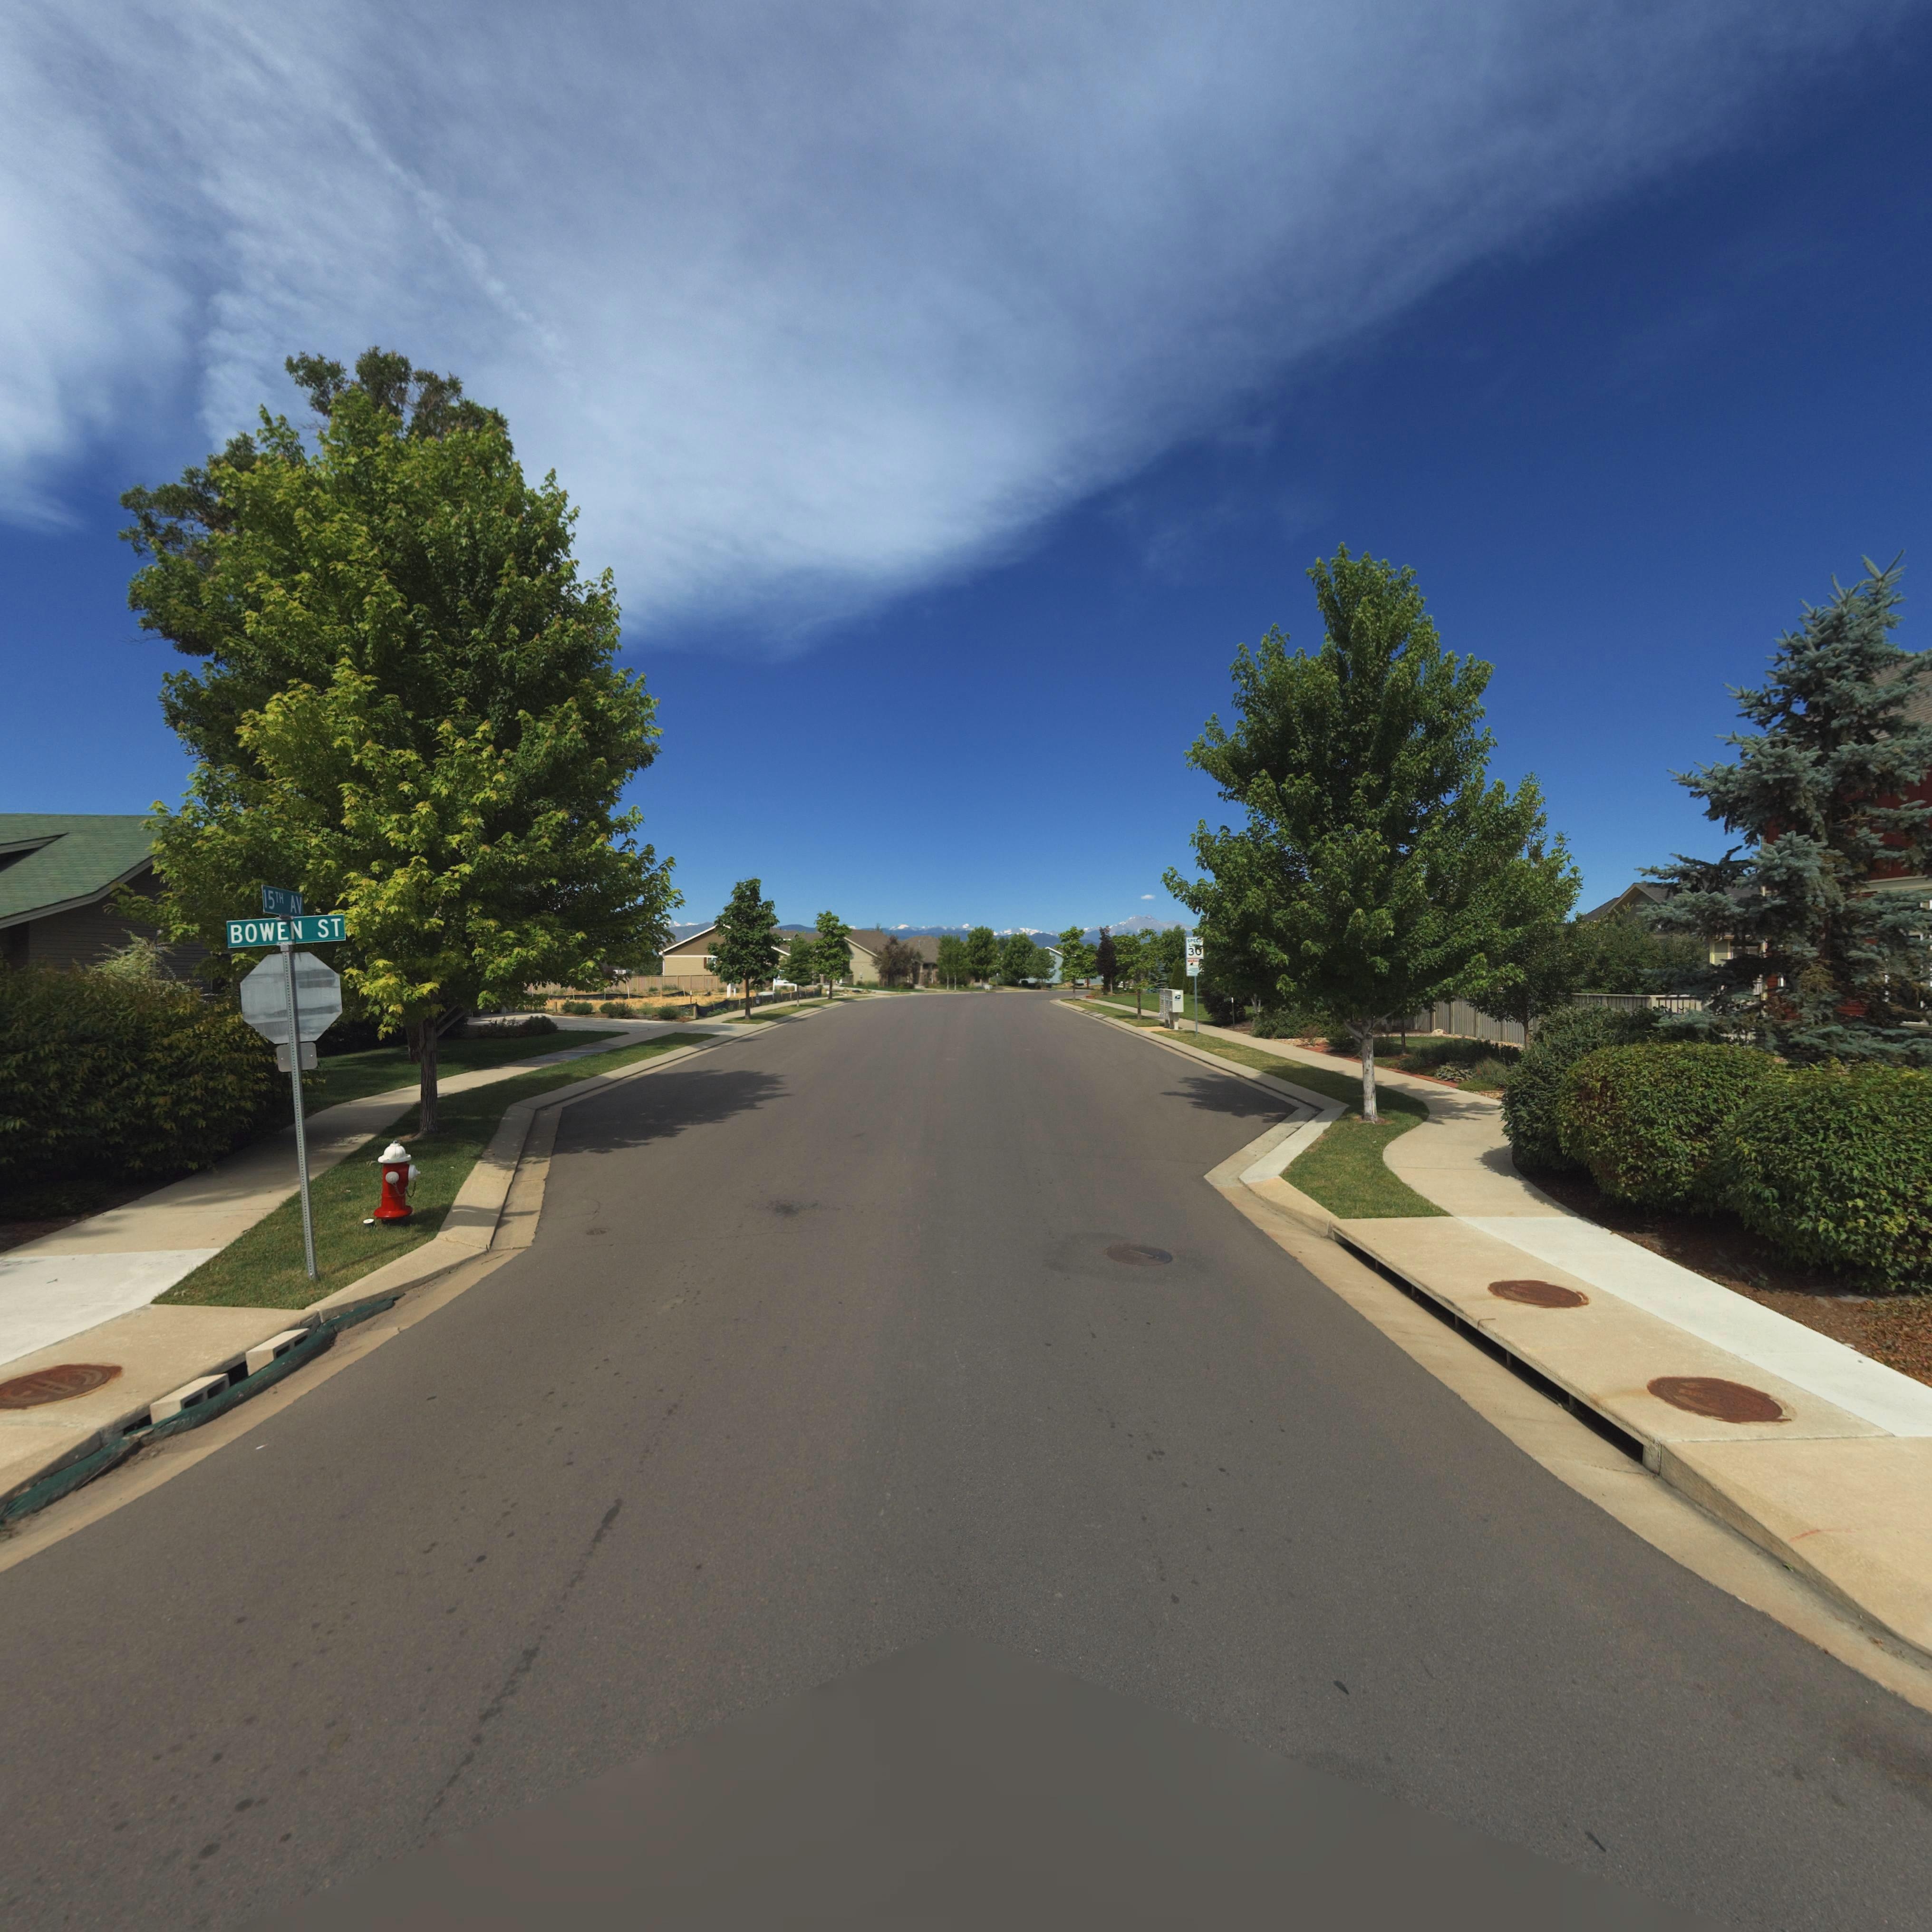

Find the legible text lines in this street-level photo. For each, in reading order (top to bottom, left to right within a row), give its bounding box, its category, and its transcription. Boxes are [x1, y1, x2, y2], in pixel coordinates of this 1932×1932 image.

[262, 888, 302, 915] StreetName: 15TH AV
[229, 917, 341, 945] StreetName: BOWEN ST